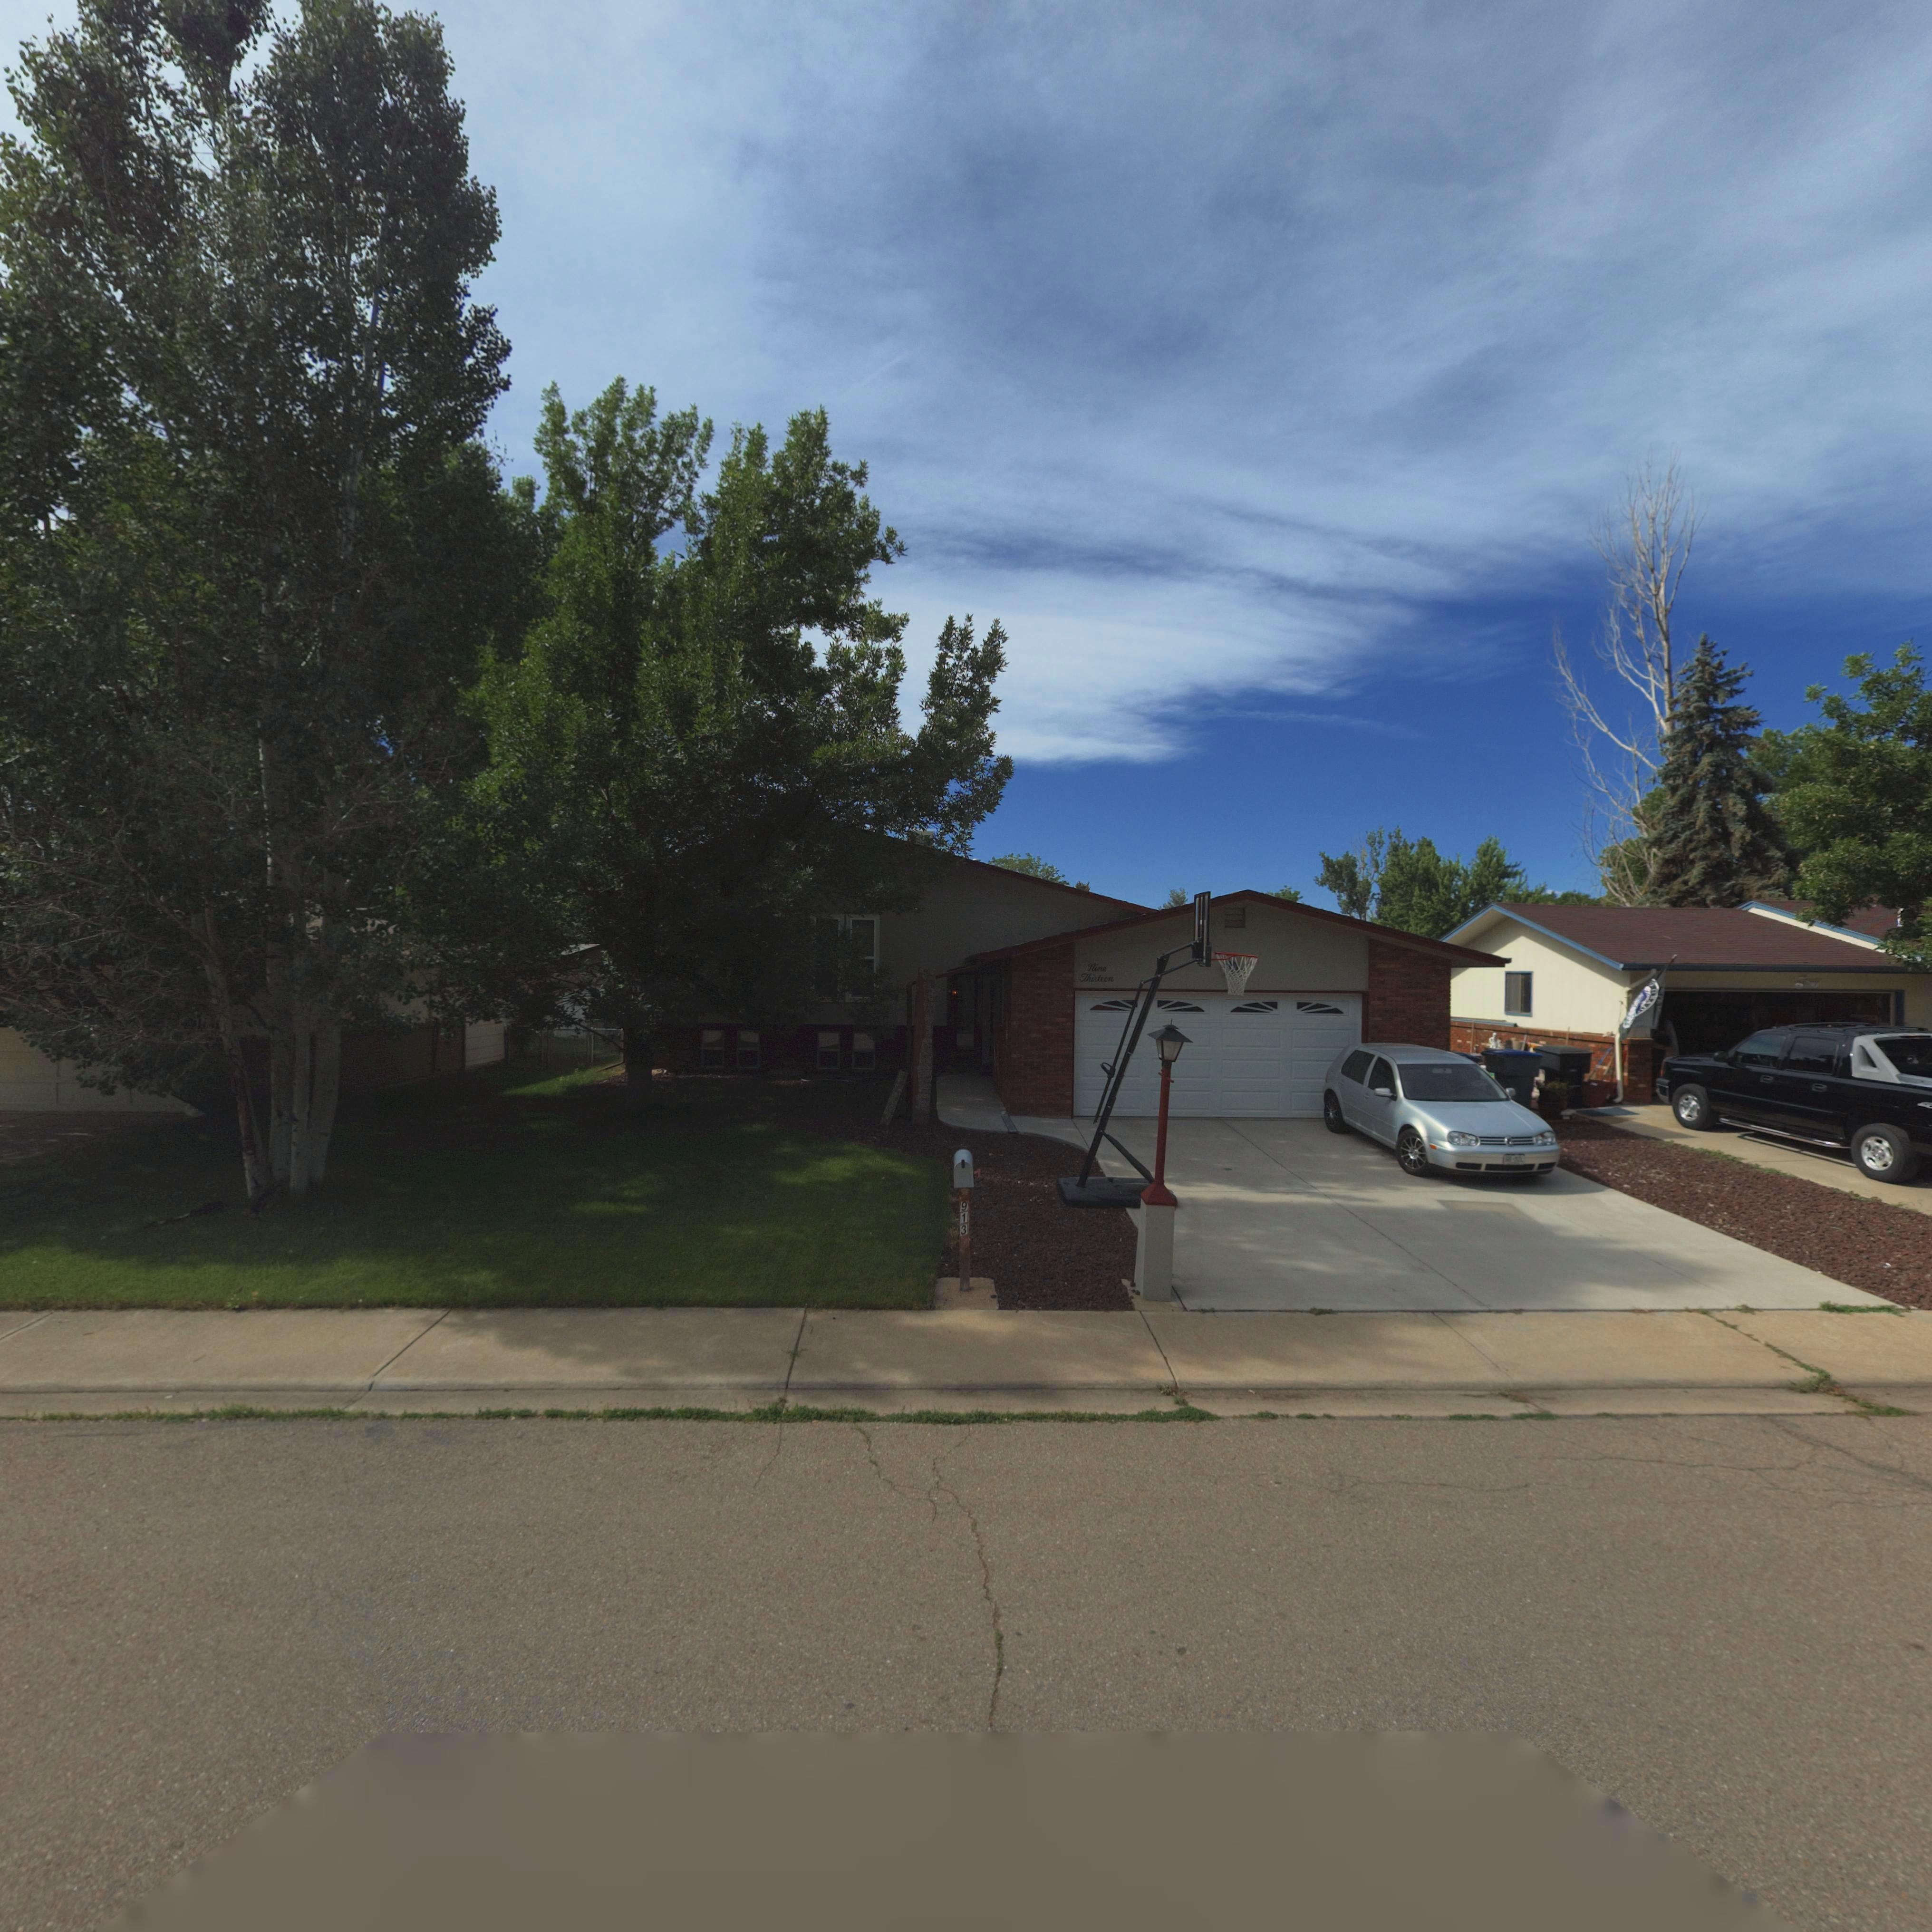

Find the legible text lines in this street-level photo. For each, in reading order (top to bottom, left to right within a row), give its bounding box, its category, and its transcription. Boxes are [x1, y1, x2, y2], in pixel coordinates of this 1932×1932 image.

[1087, 963, 1107, 972] StreetNumber: Nine
[1080, 973, 1113, 982] StreetNumber: Thirteen 
[960, 1200, 967, 1235] StreetNumber: 913